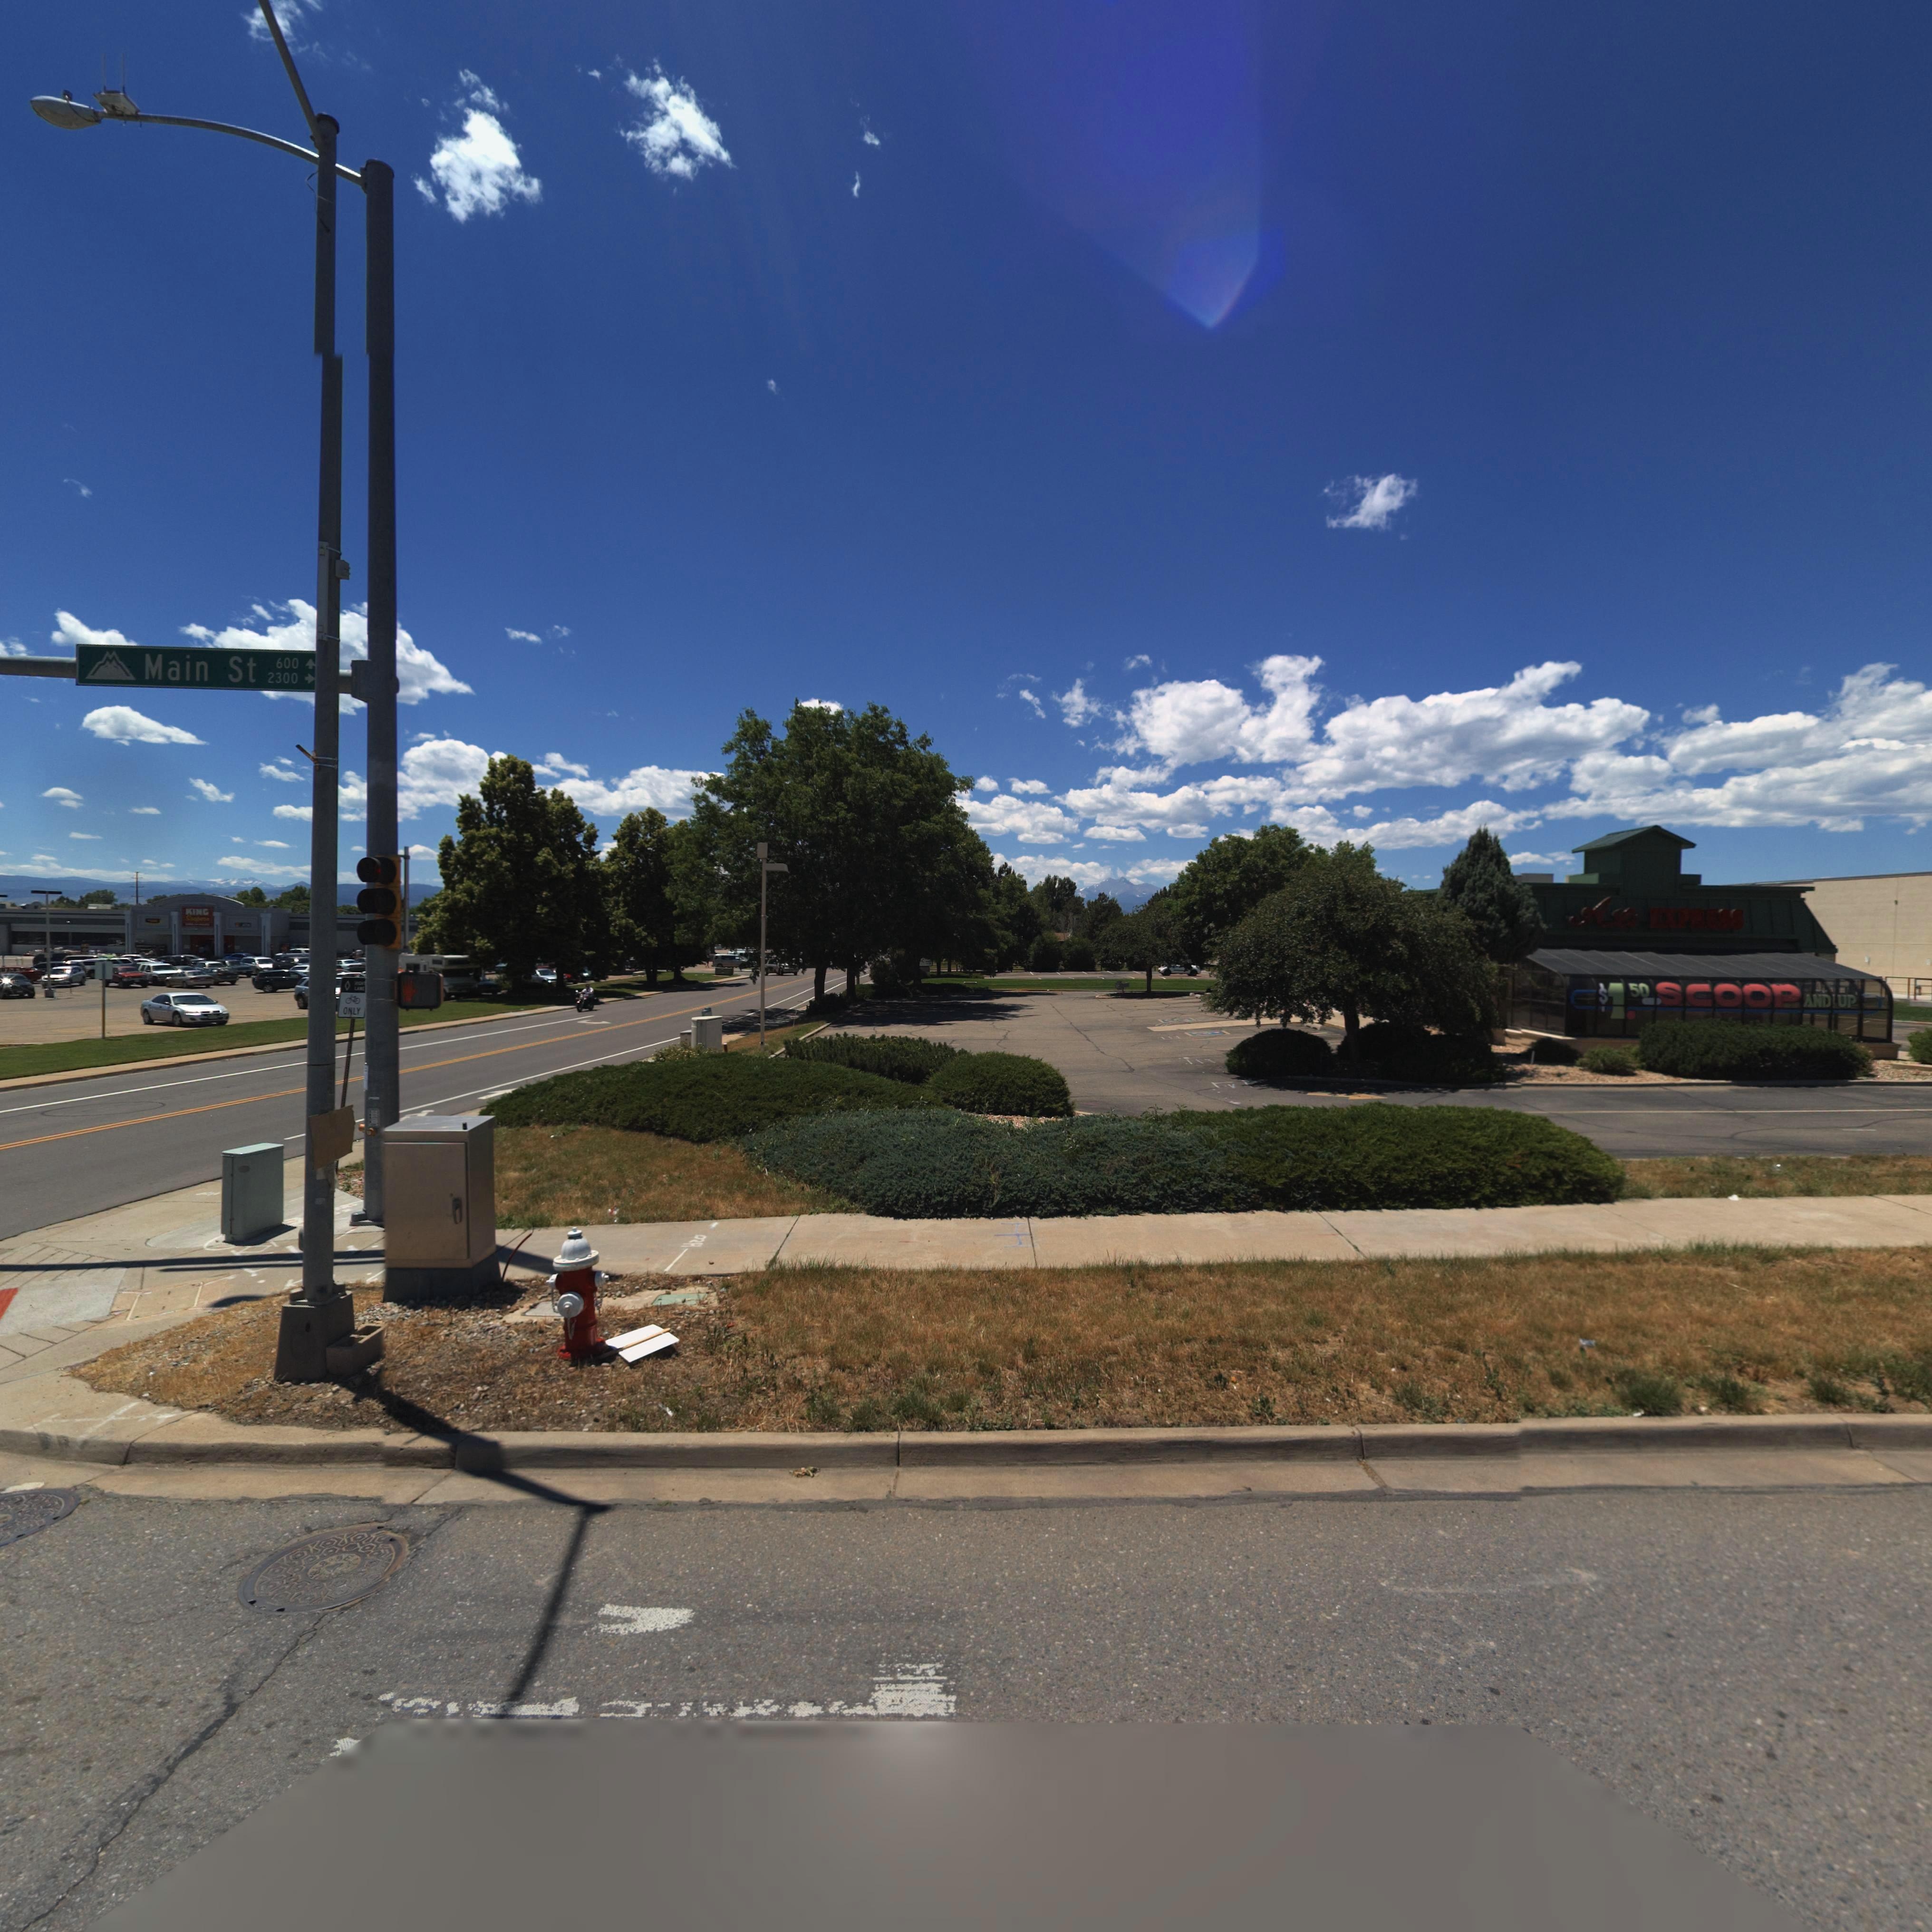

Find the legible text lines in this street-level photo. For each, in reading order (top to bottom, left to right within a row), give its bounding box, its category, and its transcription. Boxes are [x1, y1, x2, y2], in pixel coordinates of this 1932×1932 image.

[145, 654, 256, 683] StreetName: Main St
[276, 657, 299, 669] StreetNumberRange: 600
[267, 672, 315, 684] StreetNumberRange: 2300*
[184, 915, 209, 922] BusinessName: Soo****
[185, 908, 209, 915] BusinessName: KING
[1567, 895, 1745, 930] BusinessName: Ali EXP*ESS